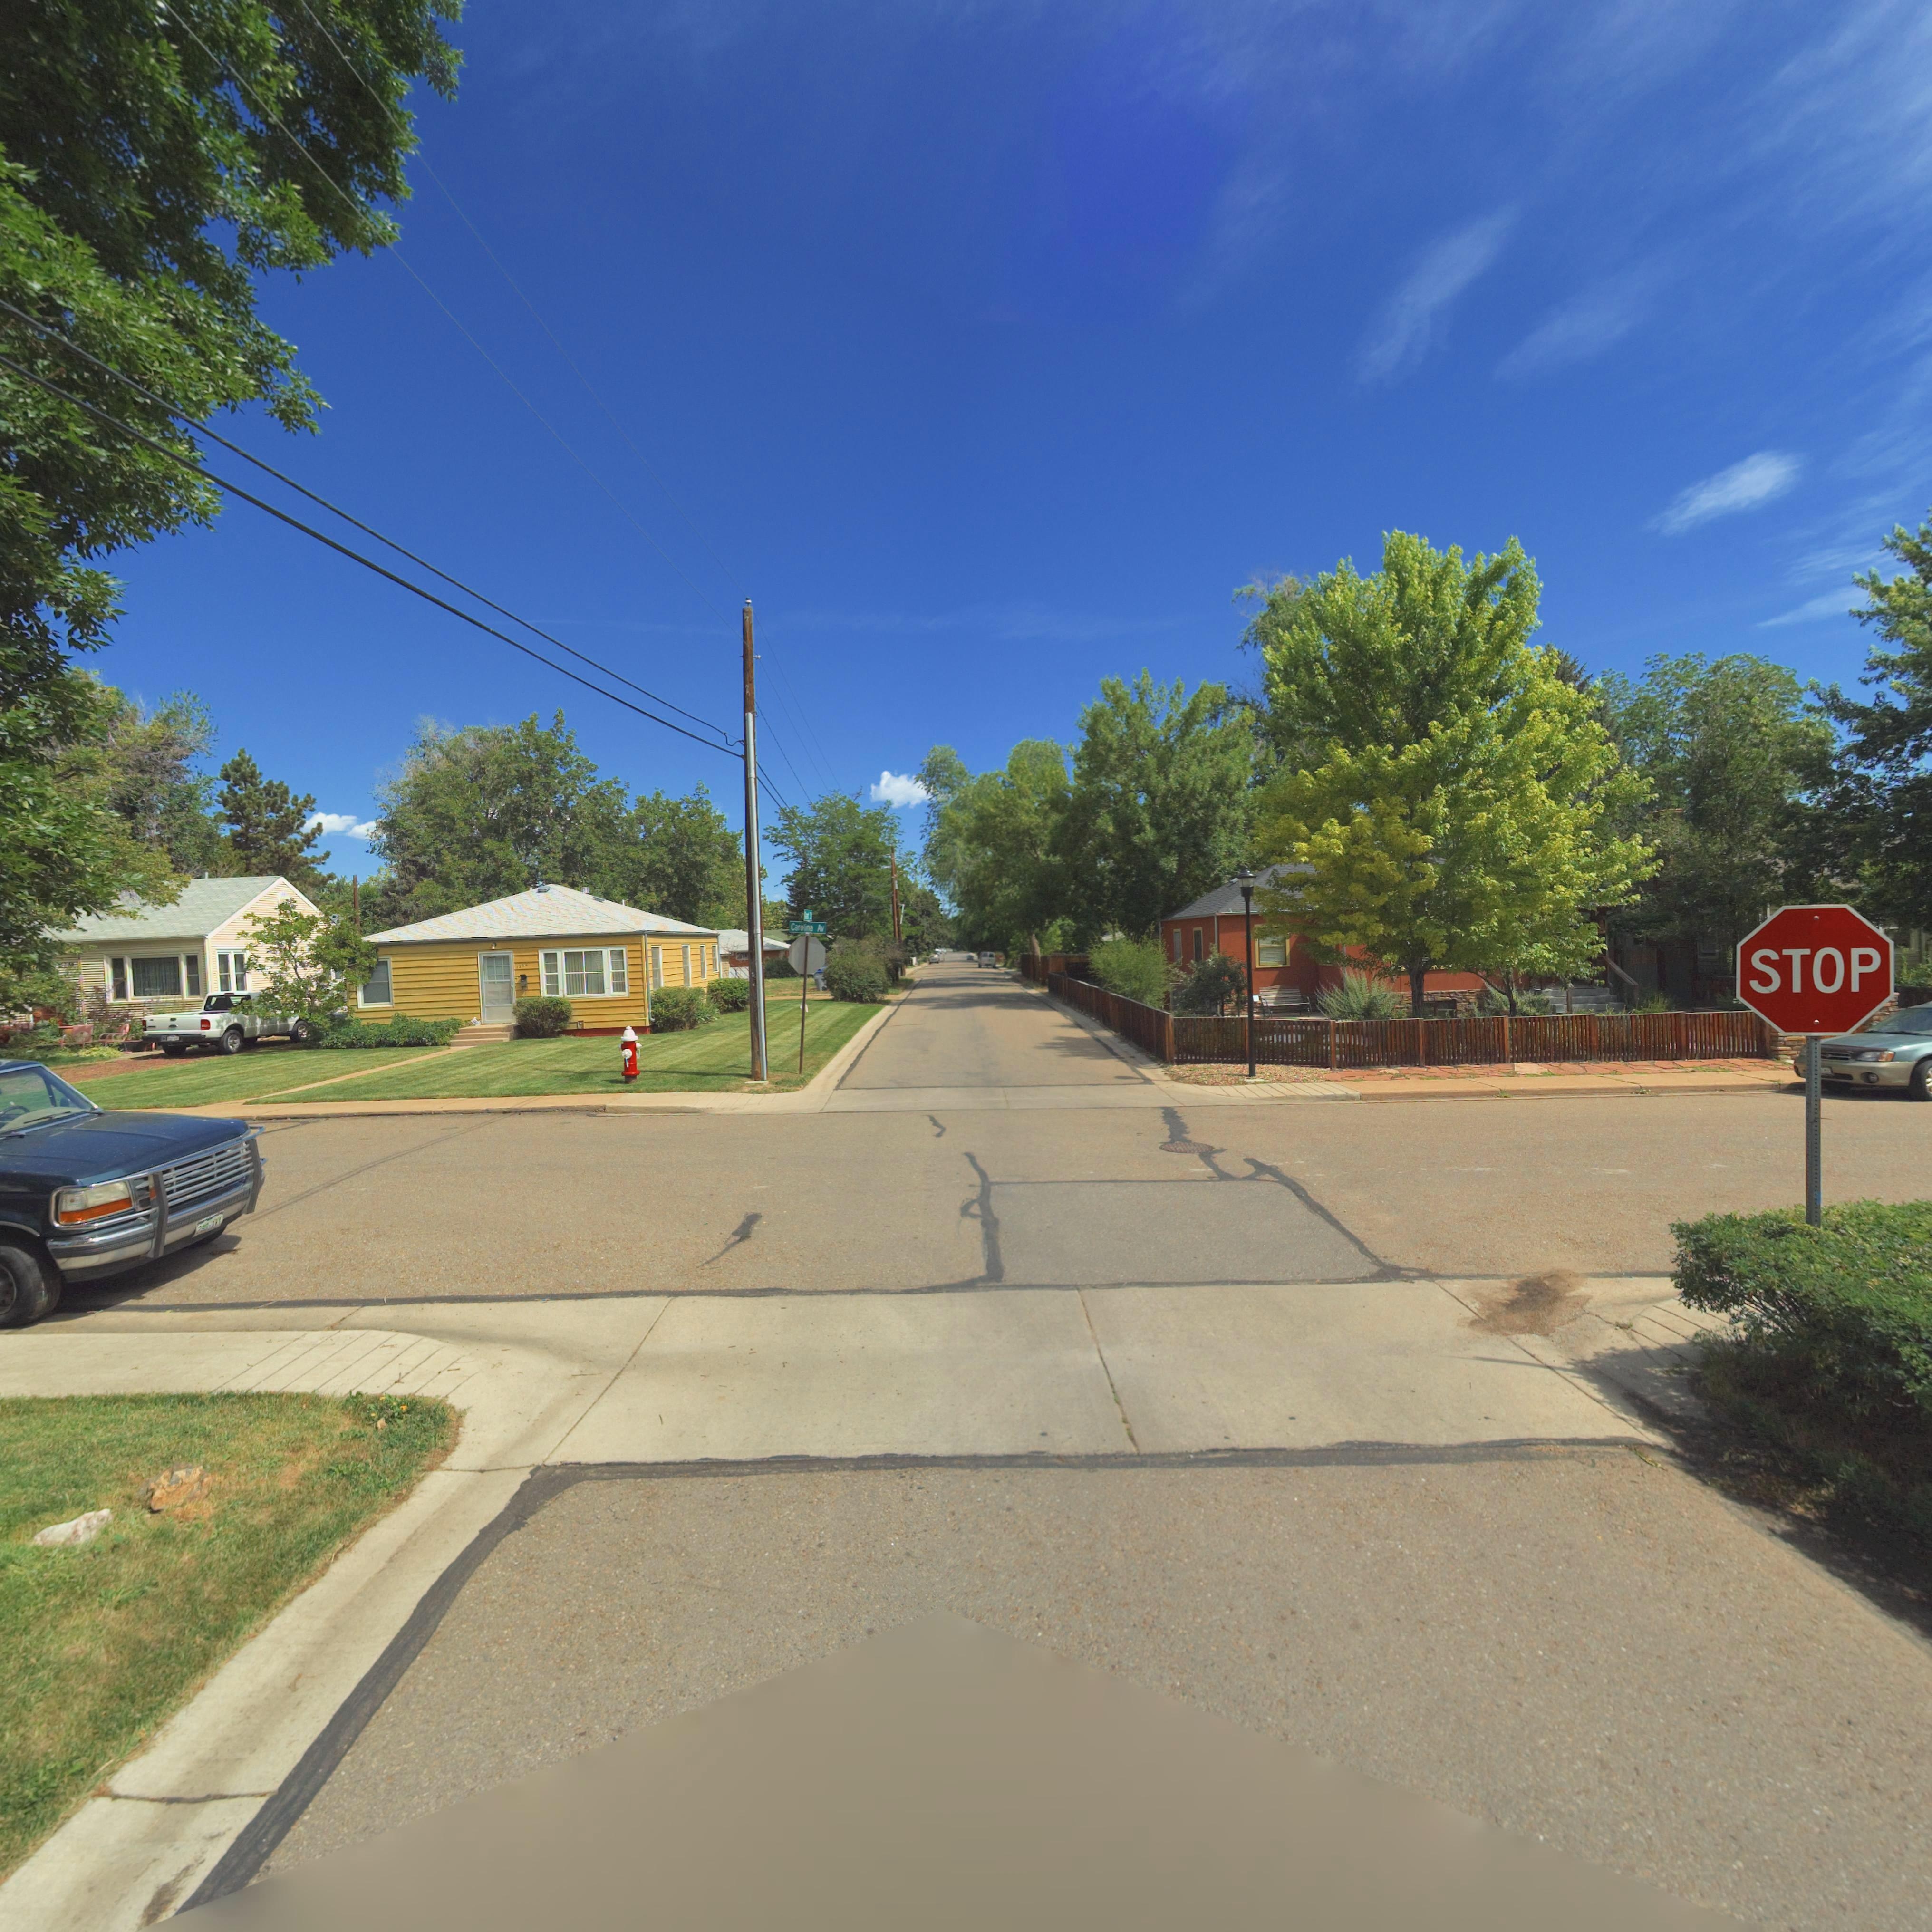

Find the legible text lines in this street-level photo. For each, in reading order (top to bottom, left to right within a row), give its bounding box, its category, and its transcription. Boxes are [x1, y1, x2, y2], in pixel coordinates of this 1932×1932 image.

[790, 922, 825, 932] StreetName: Carolina Av
[516, 963, 528, 969] StreetNumber: 1*5*